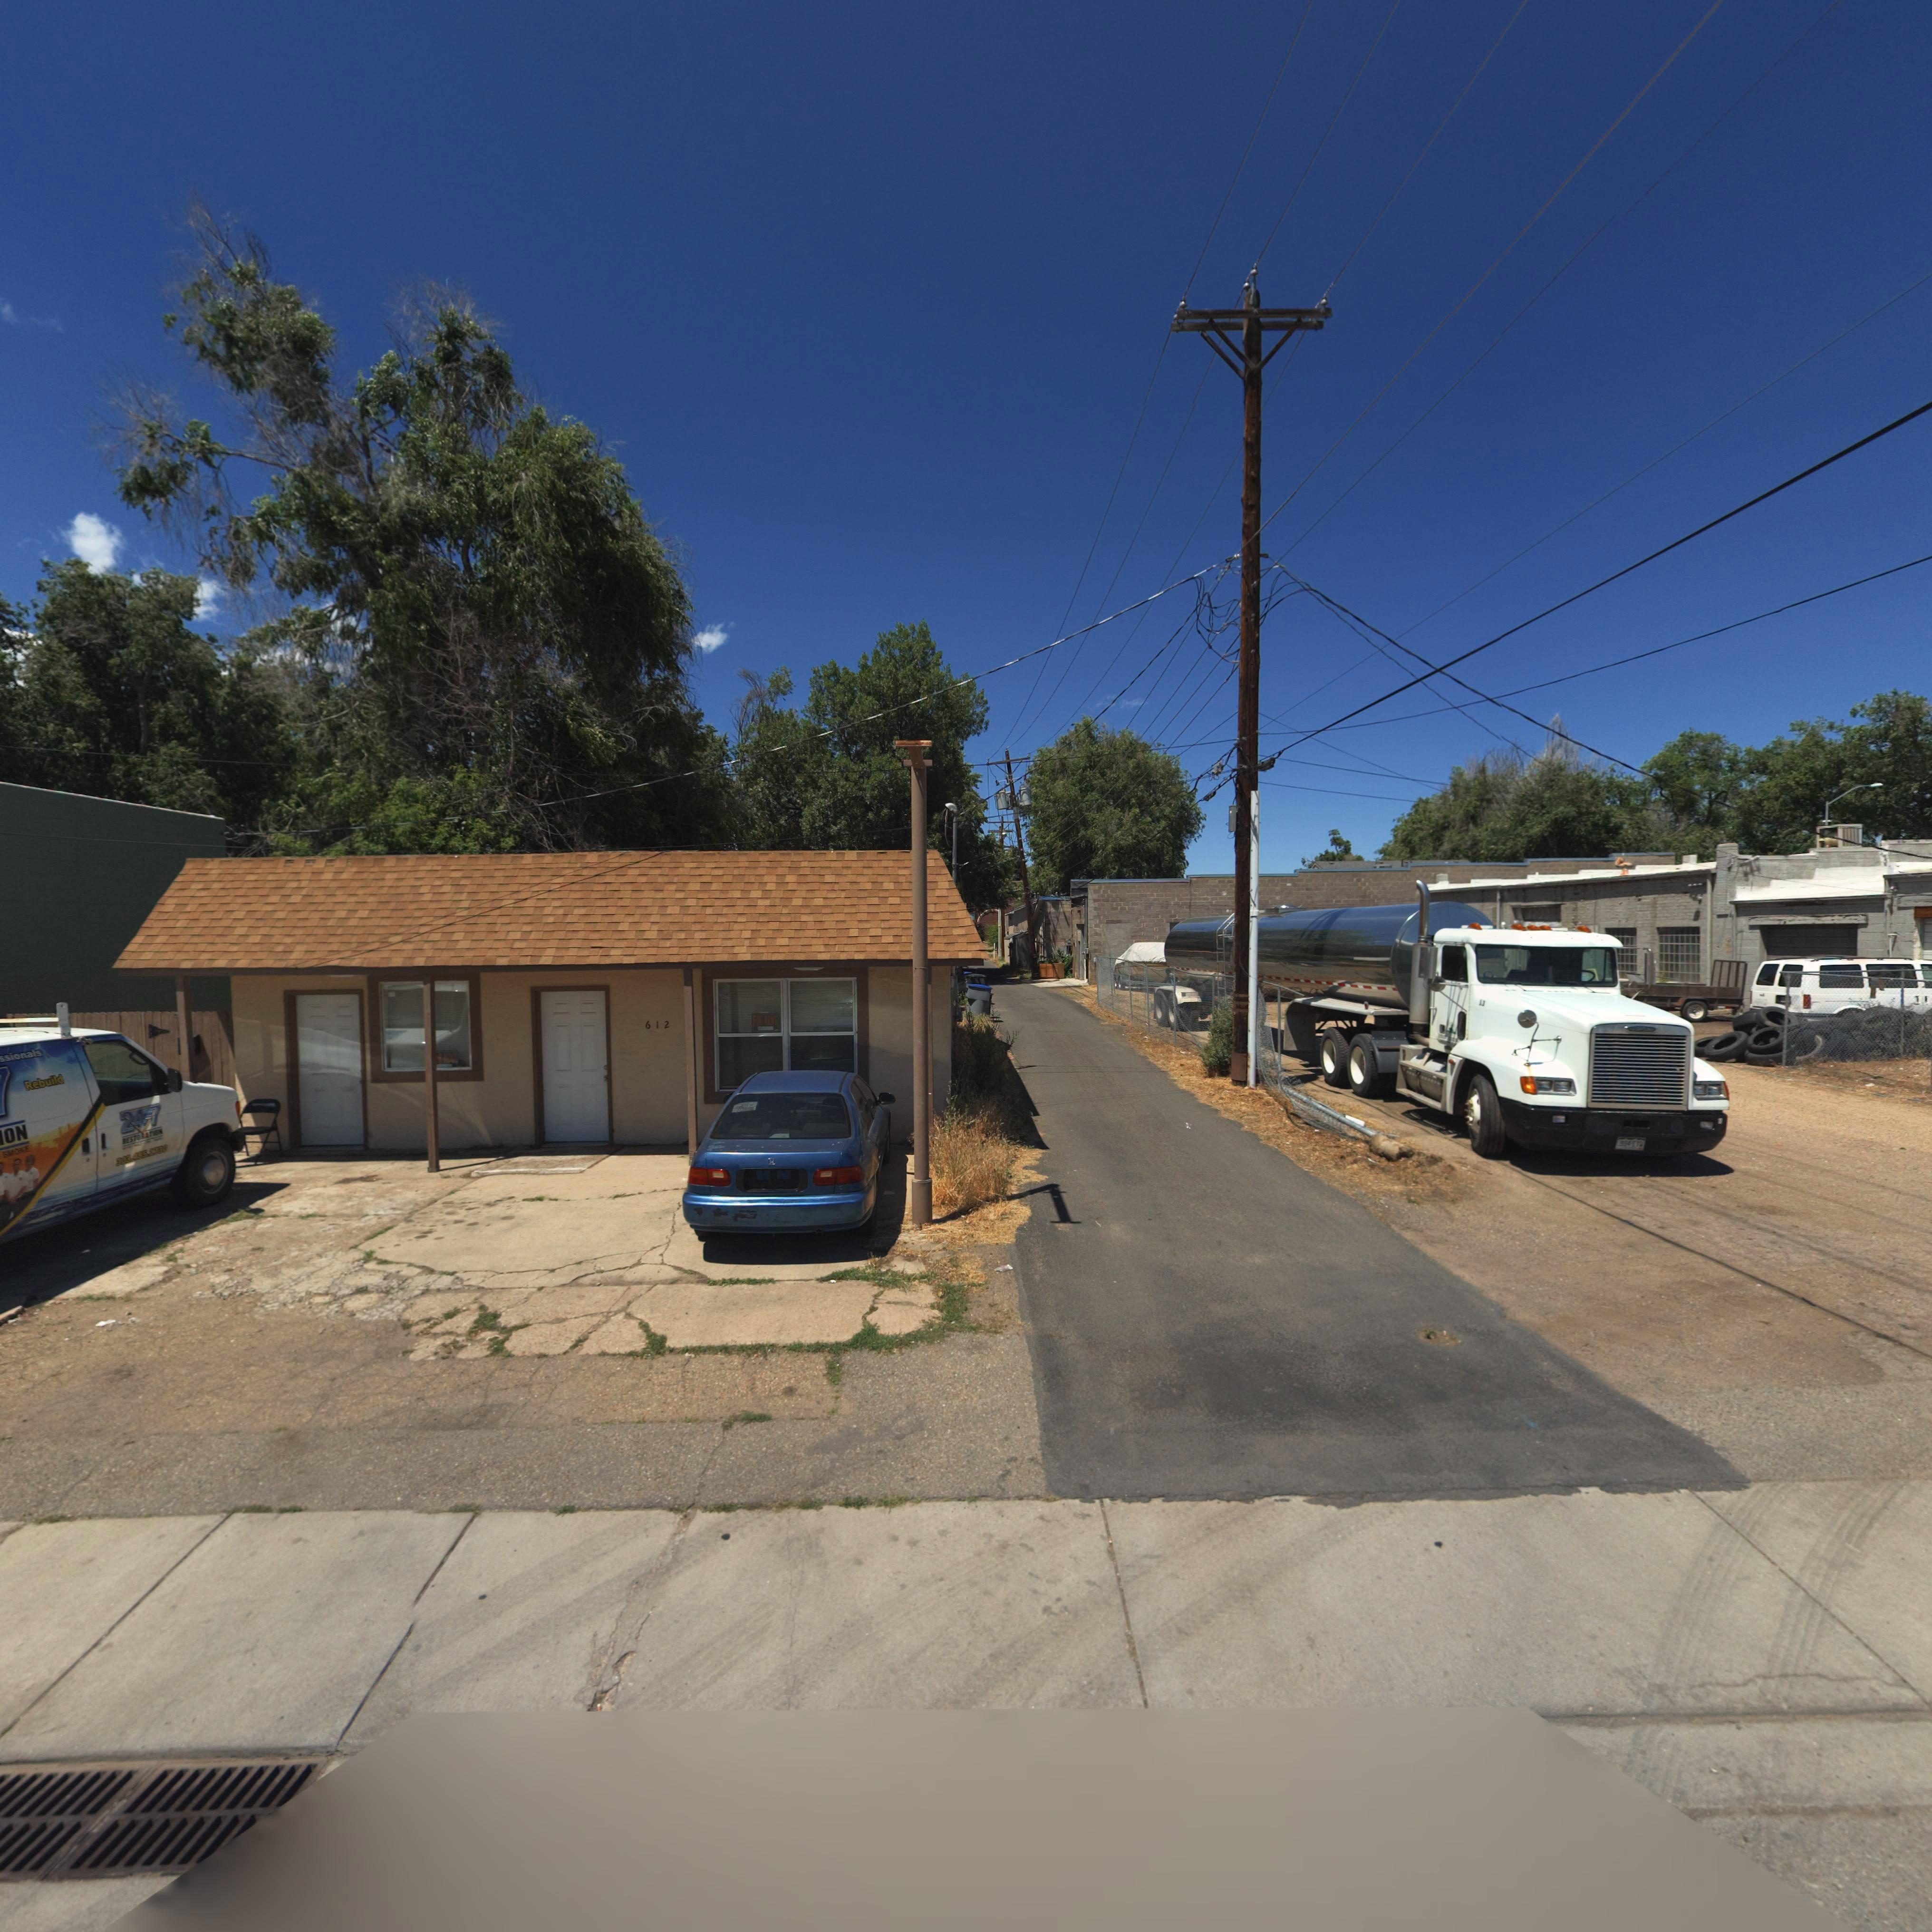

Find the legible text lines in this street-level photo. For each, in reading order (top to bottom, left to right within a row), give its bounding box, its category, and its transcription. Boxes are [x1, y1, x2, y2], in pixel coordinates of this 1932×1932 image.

[645, 1019, 669, 1029] StreetNumber: 612